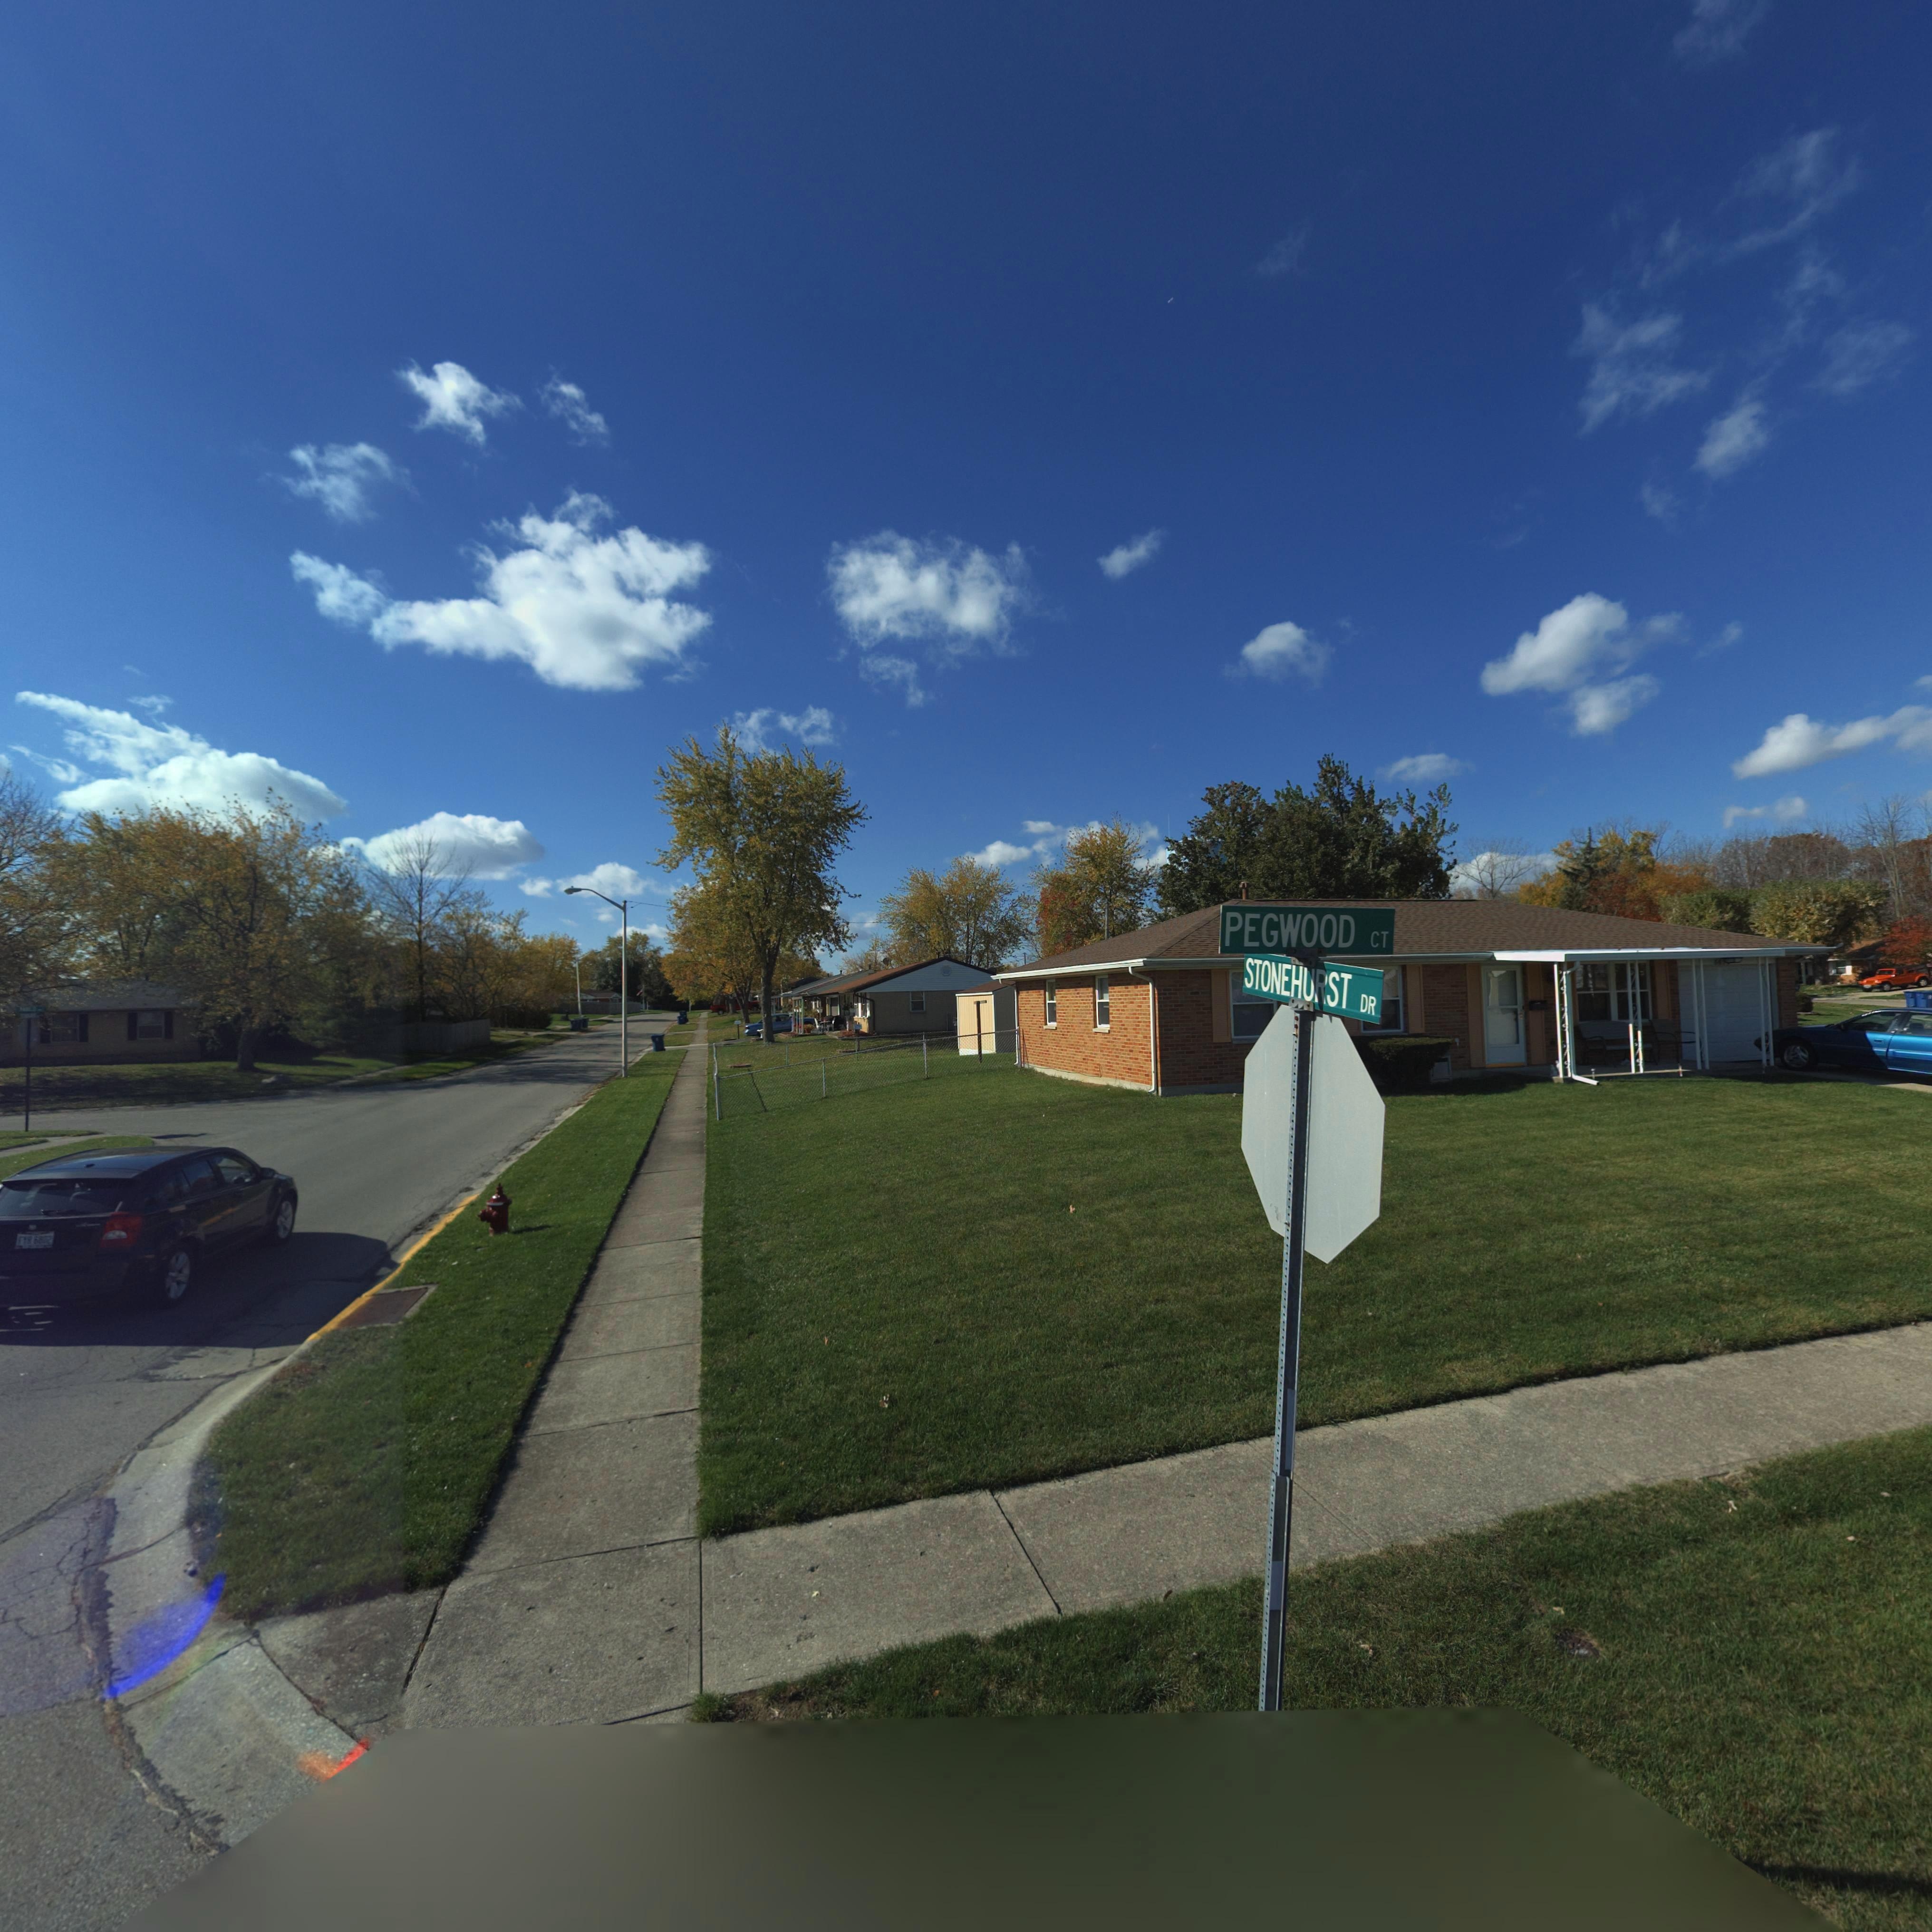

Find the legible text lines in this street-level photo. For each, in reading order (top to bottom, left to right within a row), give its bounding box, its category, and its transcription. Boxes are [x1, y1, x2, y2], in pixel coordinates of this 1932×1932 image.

[1713, 958, 1722, 965] StreetNumber: 66